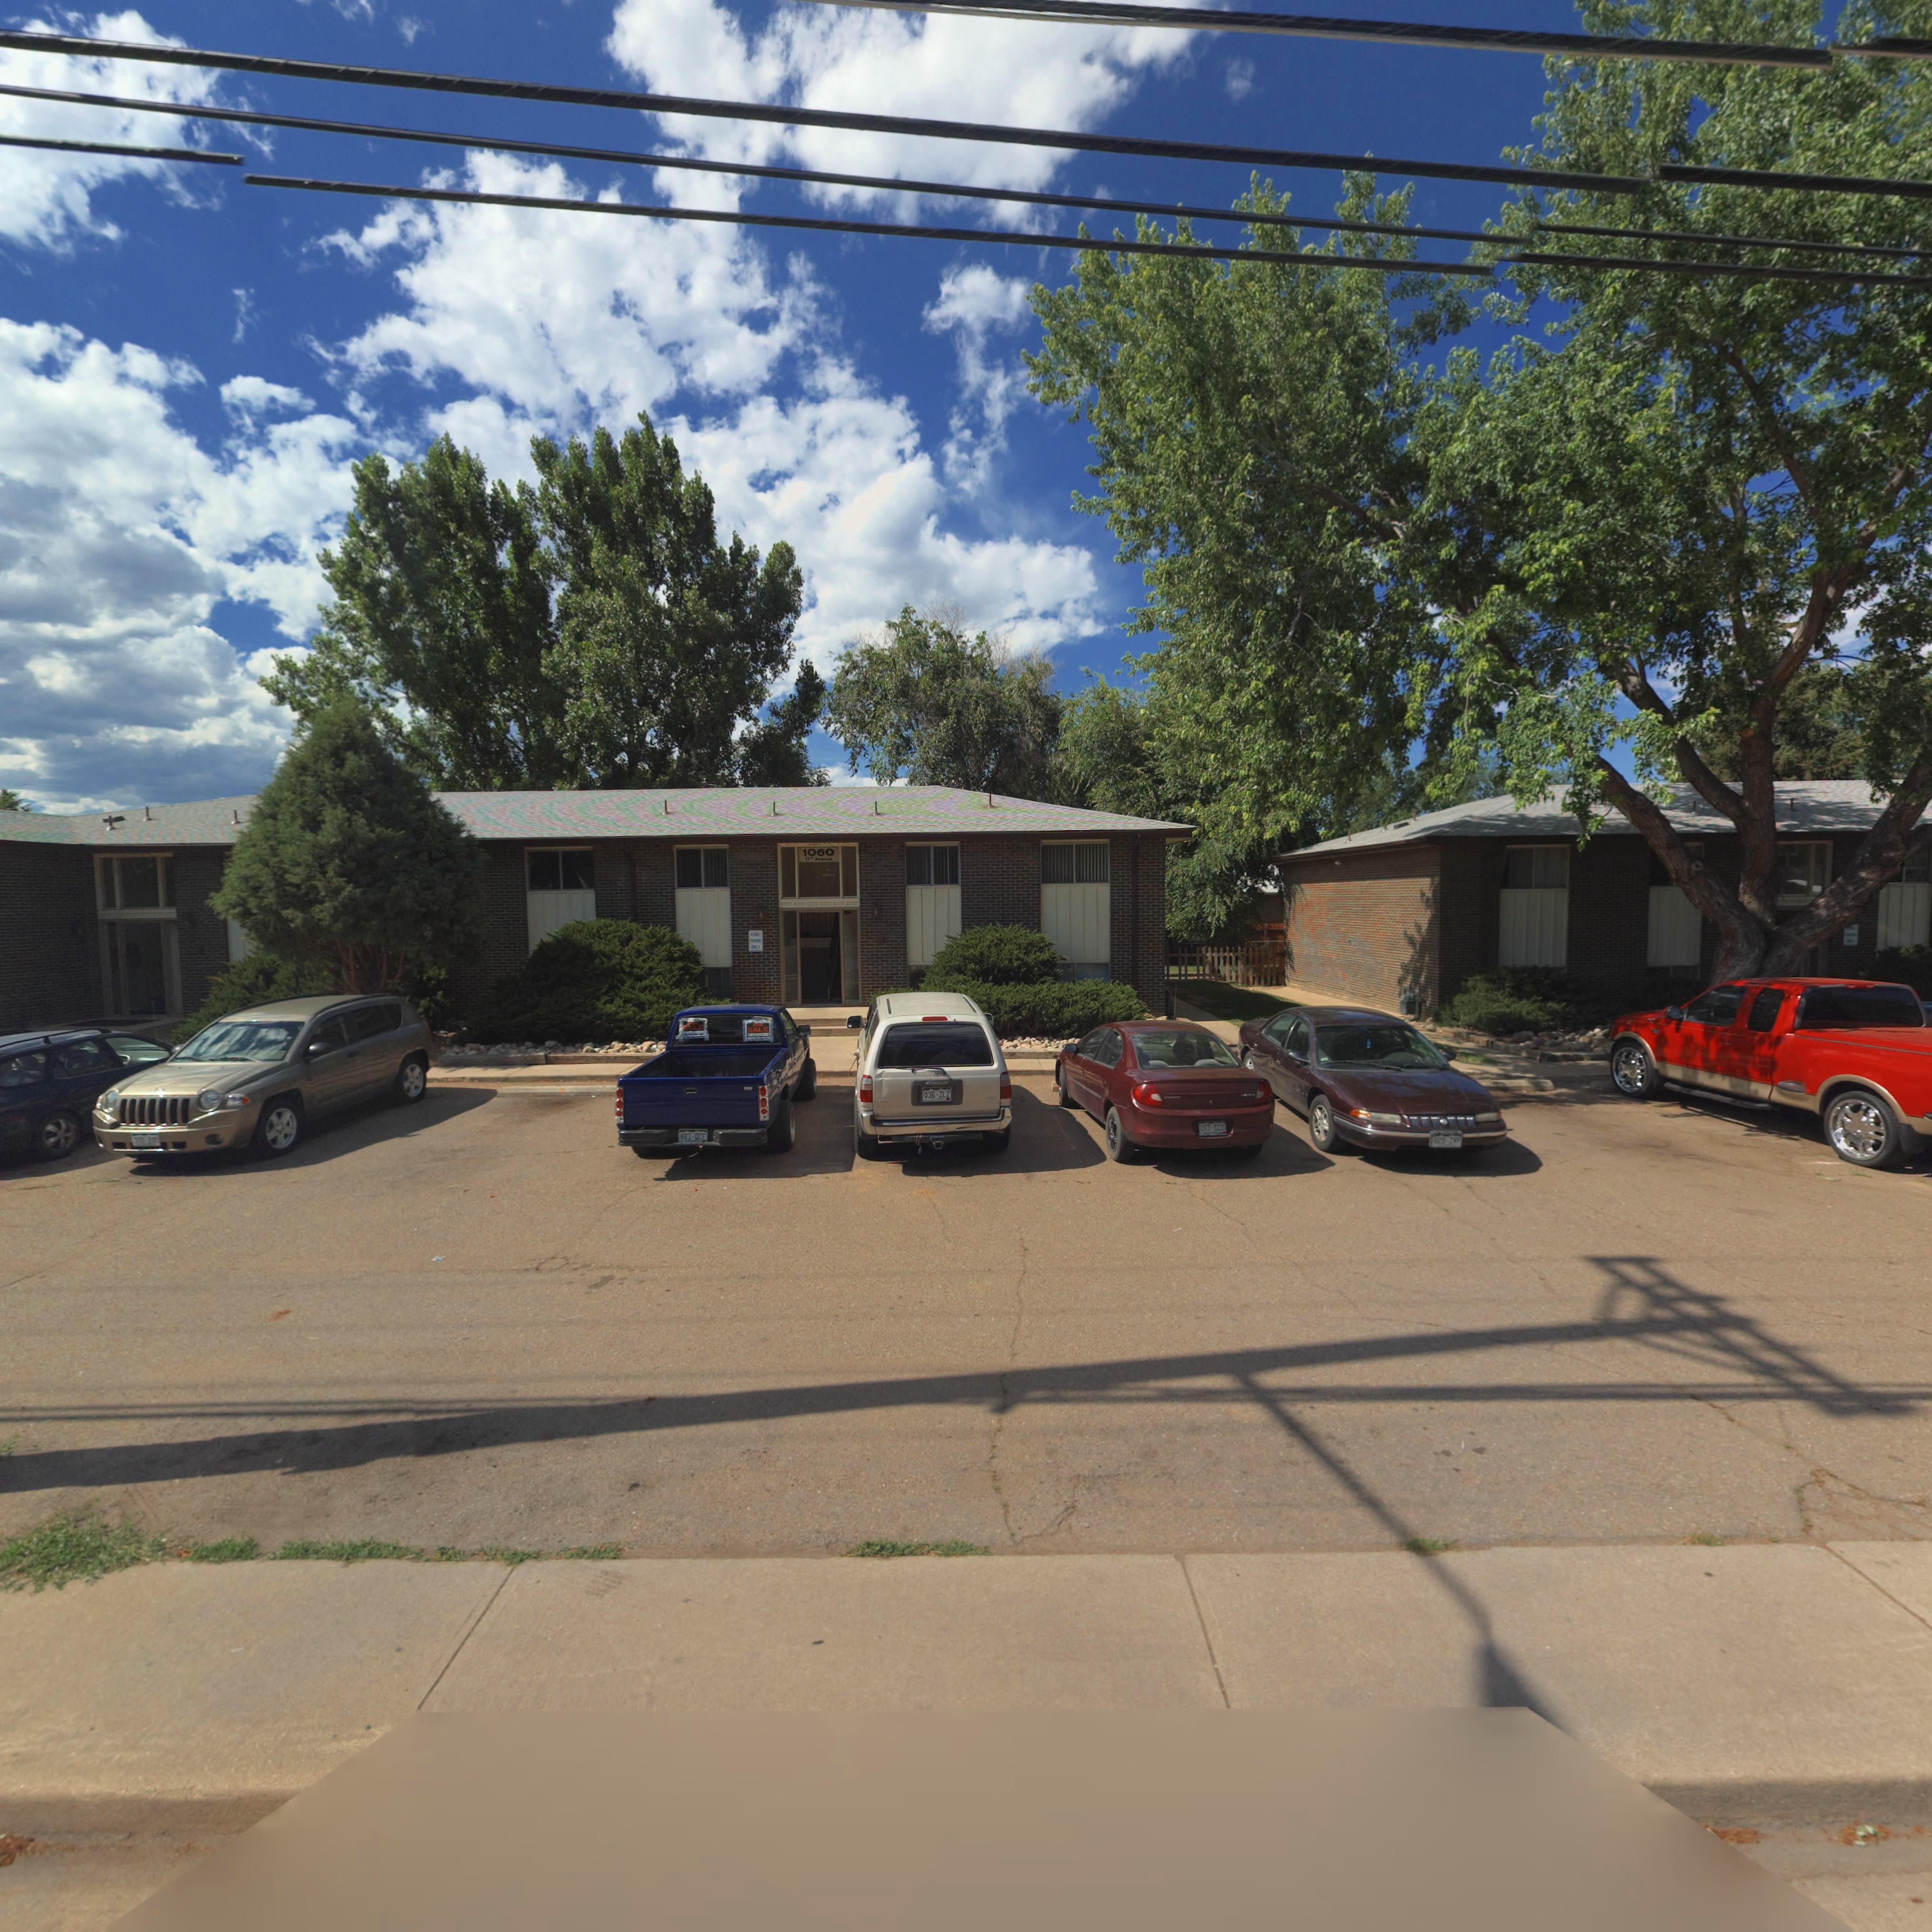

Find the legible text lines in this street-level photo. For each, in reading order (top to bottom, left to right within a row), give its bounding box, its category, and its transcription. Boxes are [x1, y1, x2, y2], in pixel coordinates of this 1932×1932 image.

[802, 847, 834, 856] StreetNumber: 1060
[805, 856, 832, 861] StreetName: 17th Avenue